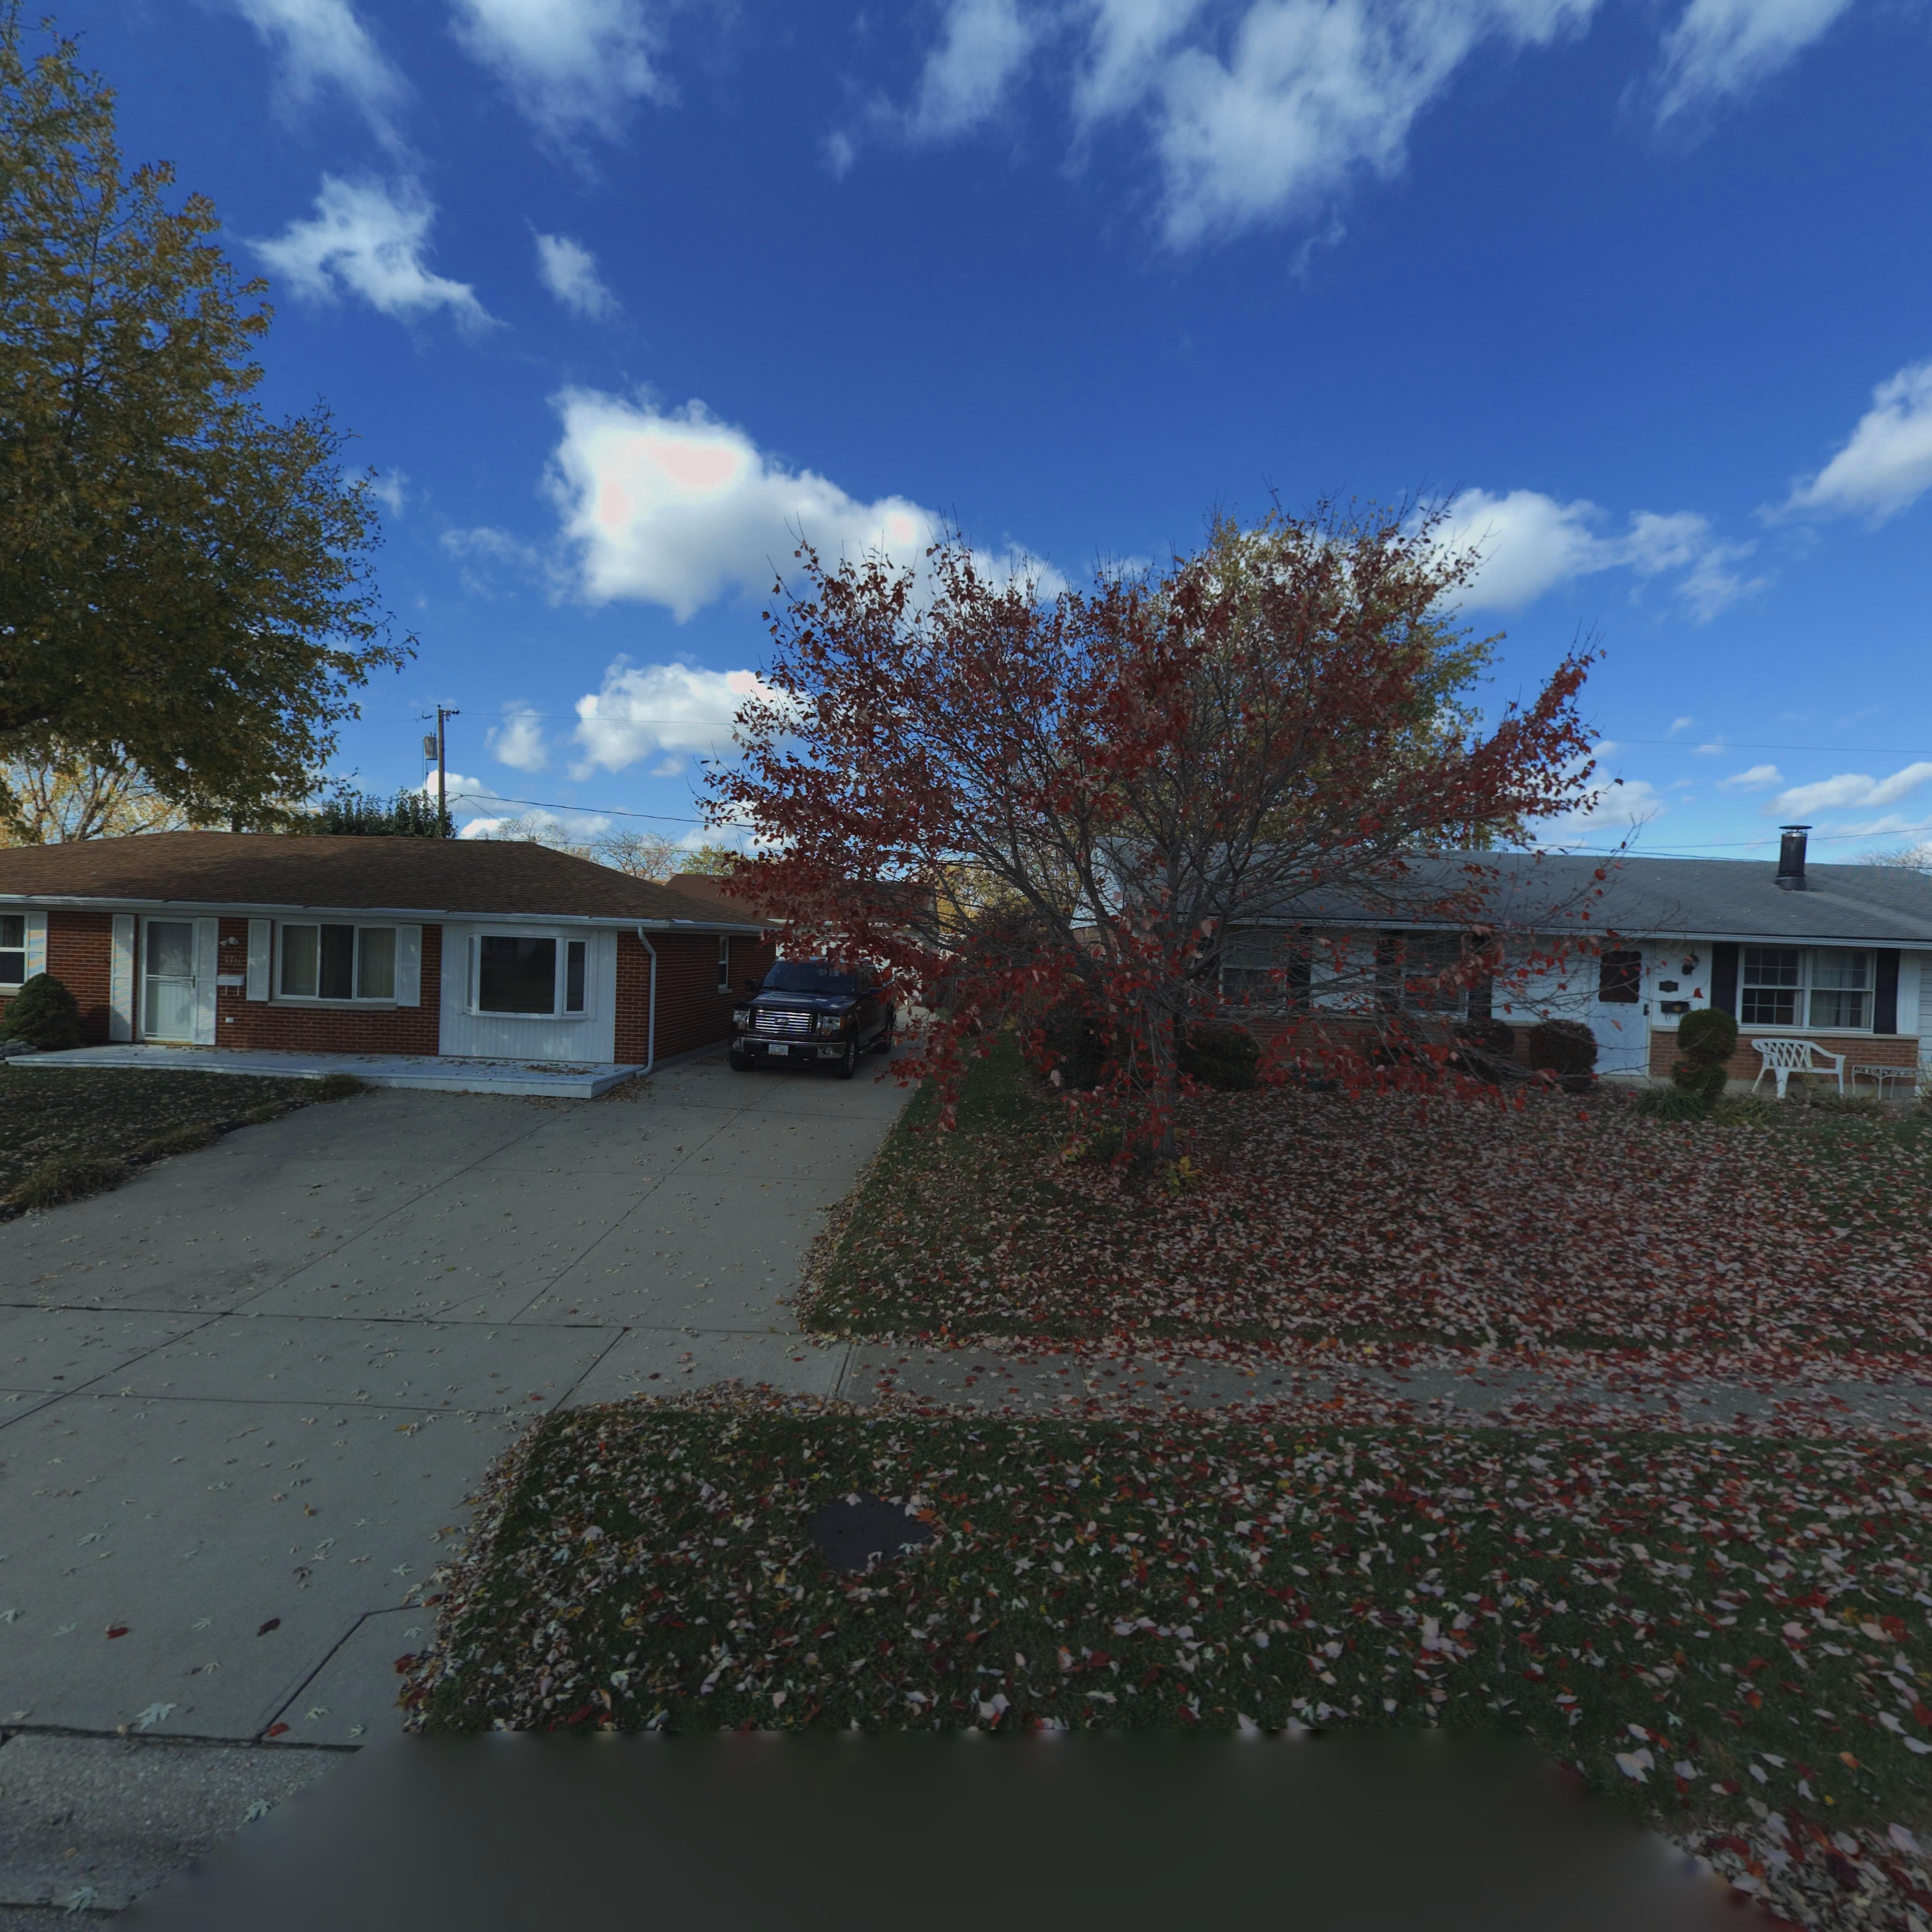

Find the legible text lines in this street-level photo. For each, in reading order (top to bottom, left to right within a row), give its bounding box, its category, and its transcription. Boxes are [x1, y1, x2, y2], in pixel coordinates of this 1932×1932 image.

[223, 955, 242, 965] StreetNumber: 7711
[1662, 983, 1676, 990] StreetNumber: 7721